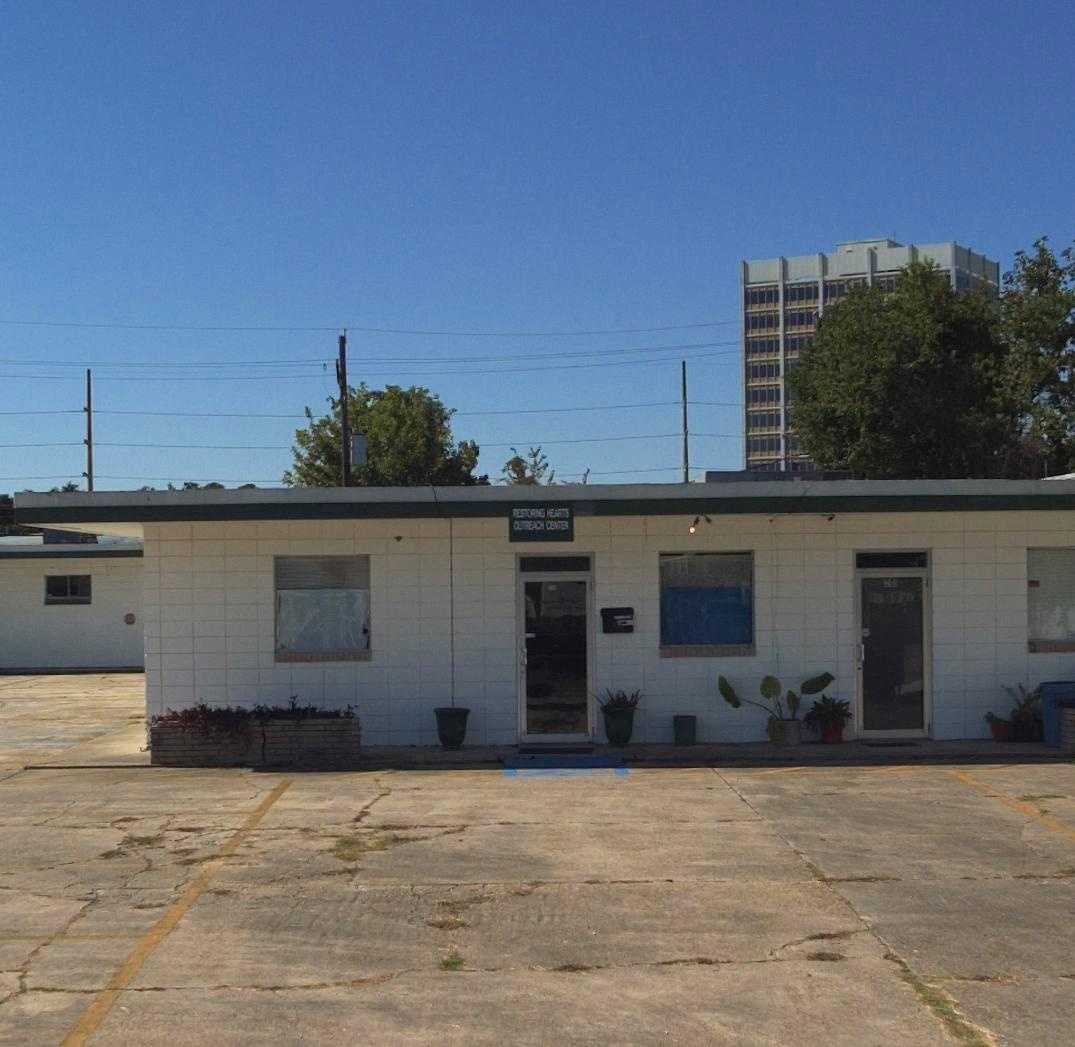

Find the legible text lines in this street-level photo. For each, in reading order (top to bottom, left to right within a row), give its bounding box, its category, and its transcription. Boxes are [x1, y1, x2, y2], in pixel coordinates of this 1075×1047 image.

[510, 506, 571, 520] BusinessName: REST**G HEA*TS
[511, 518, 572, 533] BusinessName: OUTREACH CENTER